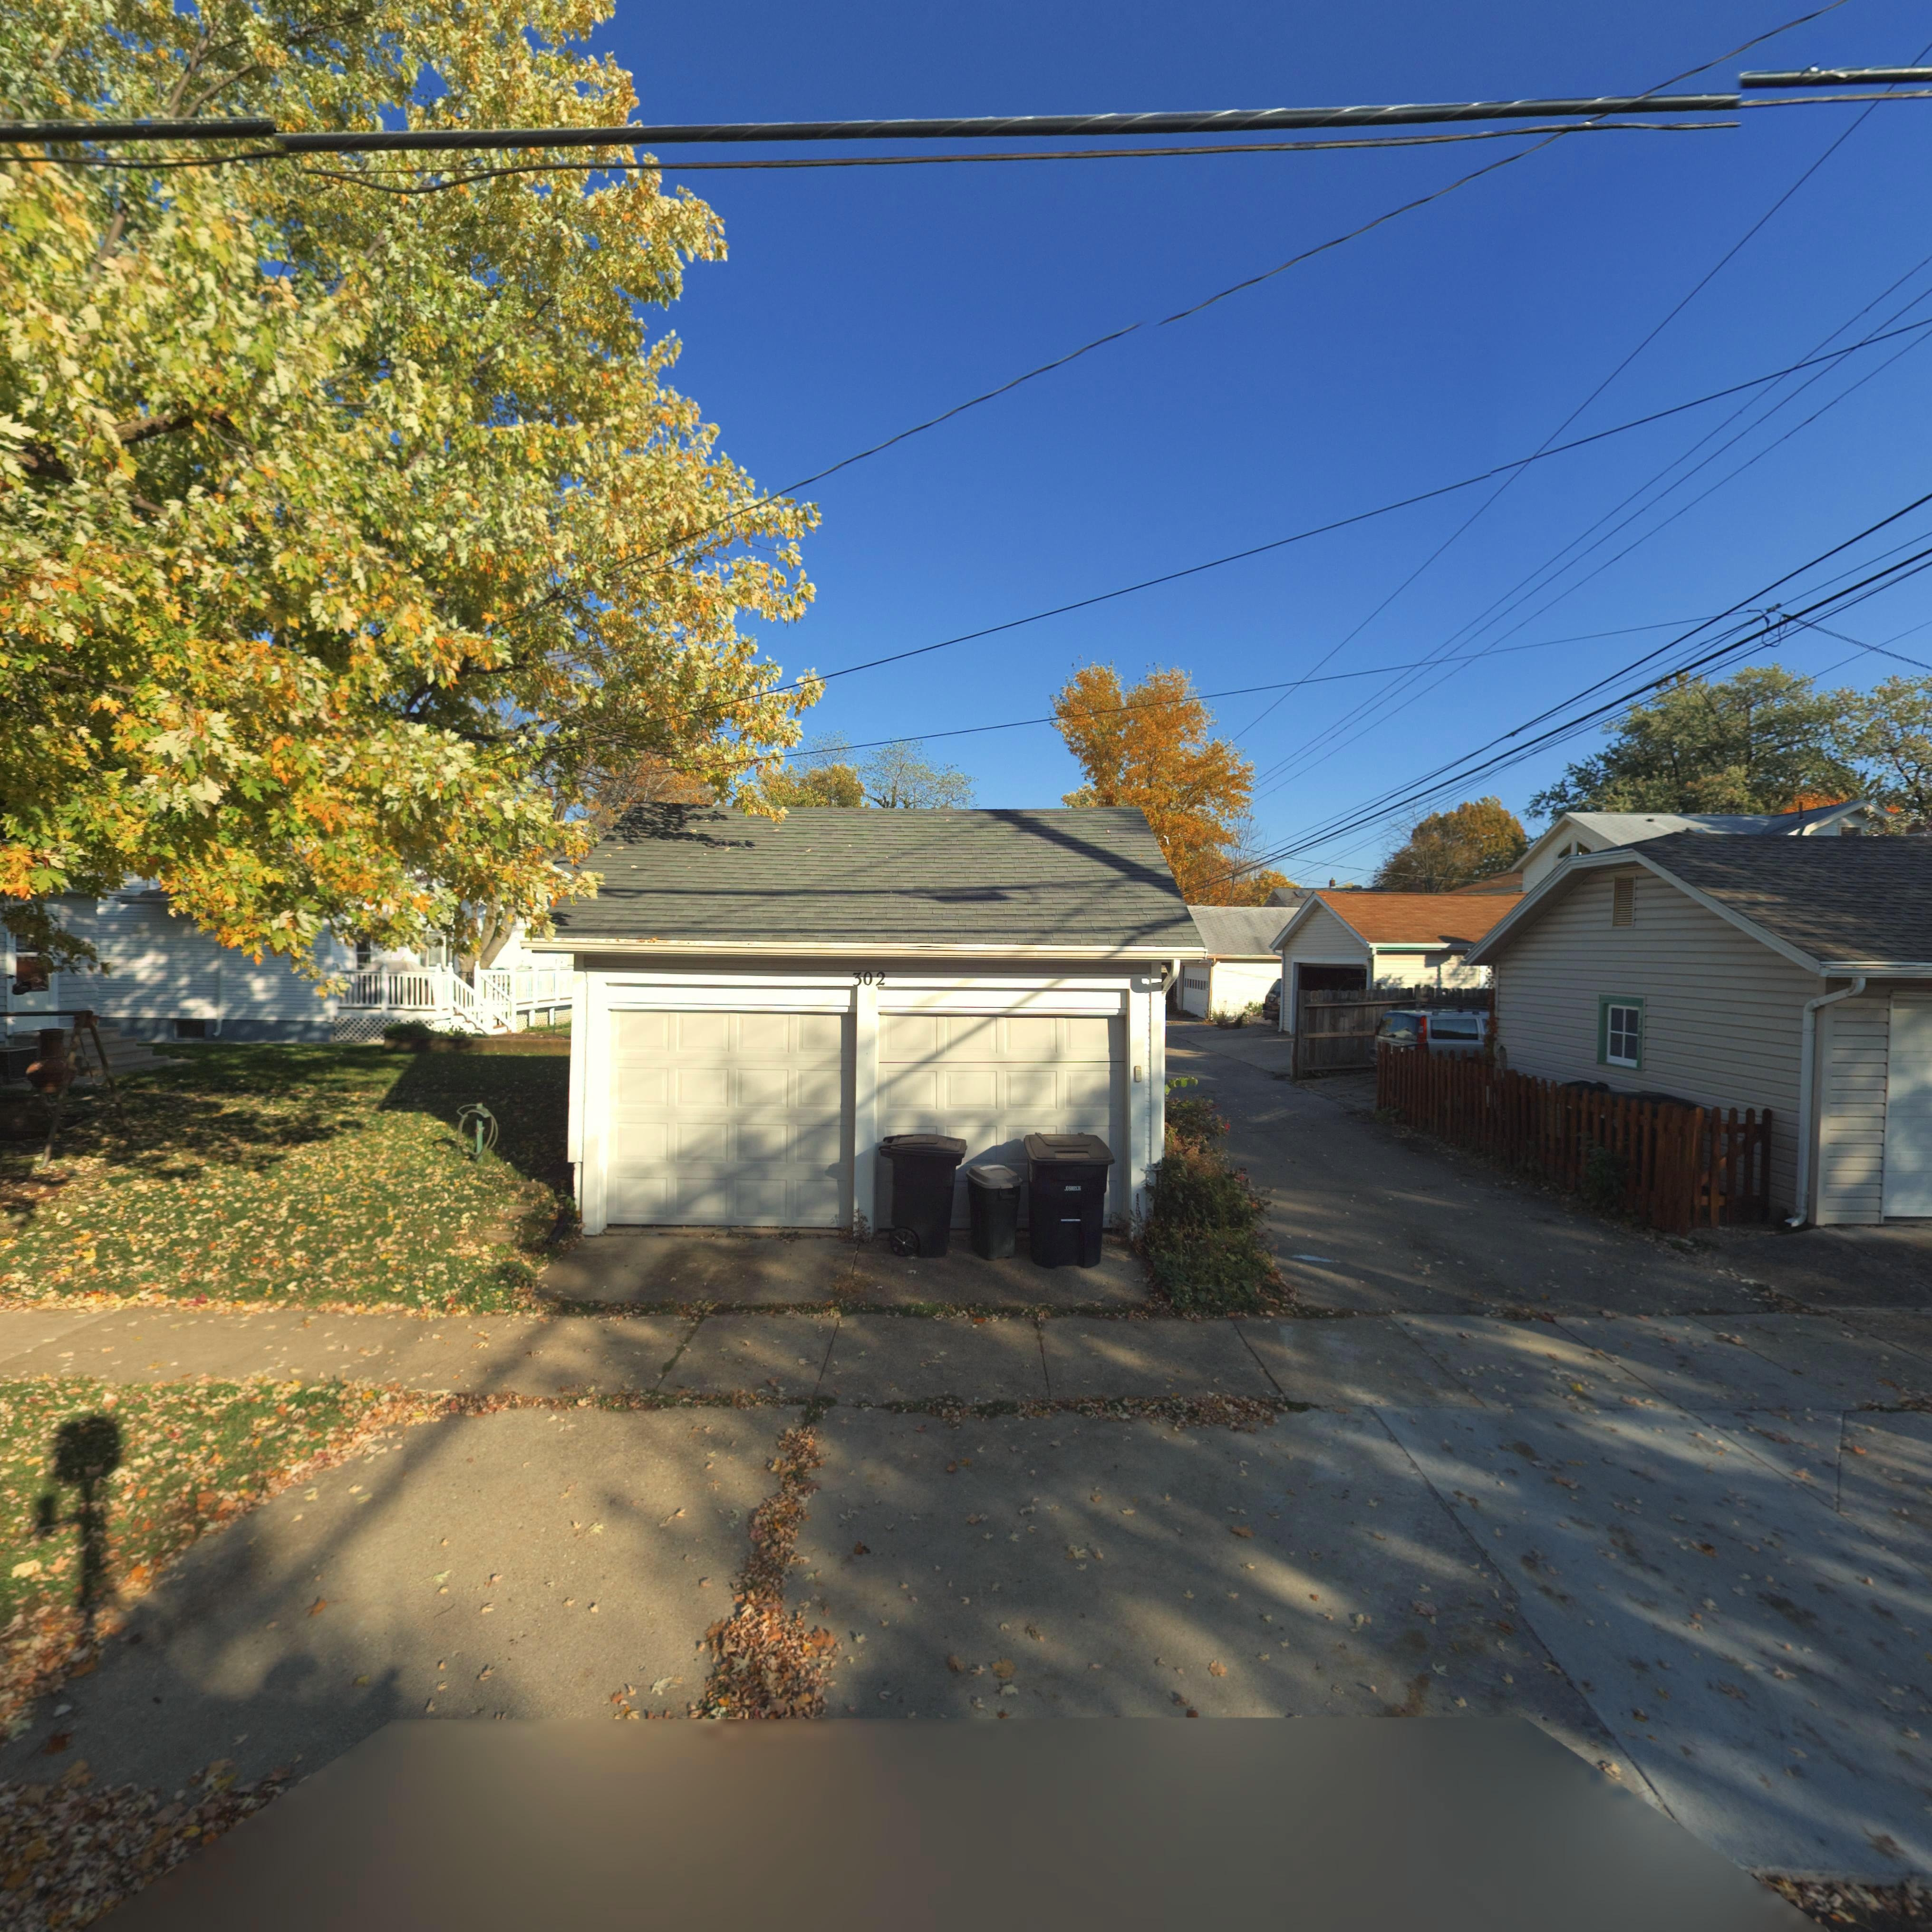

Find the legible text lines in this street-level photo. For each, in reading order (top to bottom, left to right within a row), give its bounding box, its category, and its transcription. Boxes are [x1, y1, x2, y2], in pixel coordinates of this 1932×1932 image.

[852, 970, 886, 987] StreetNumber: 302